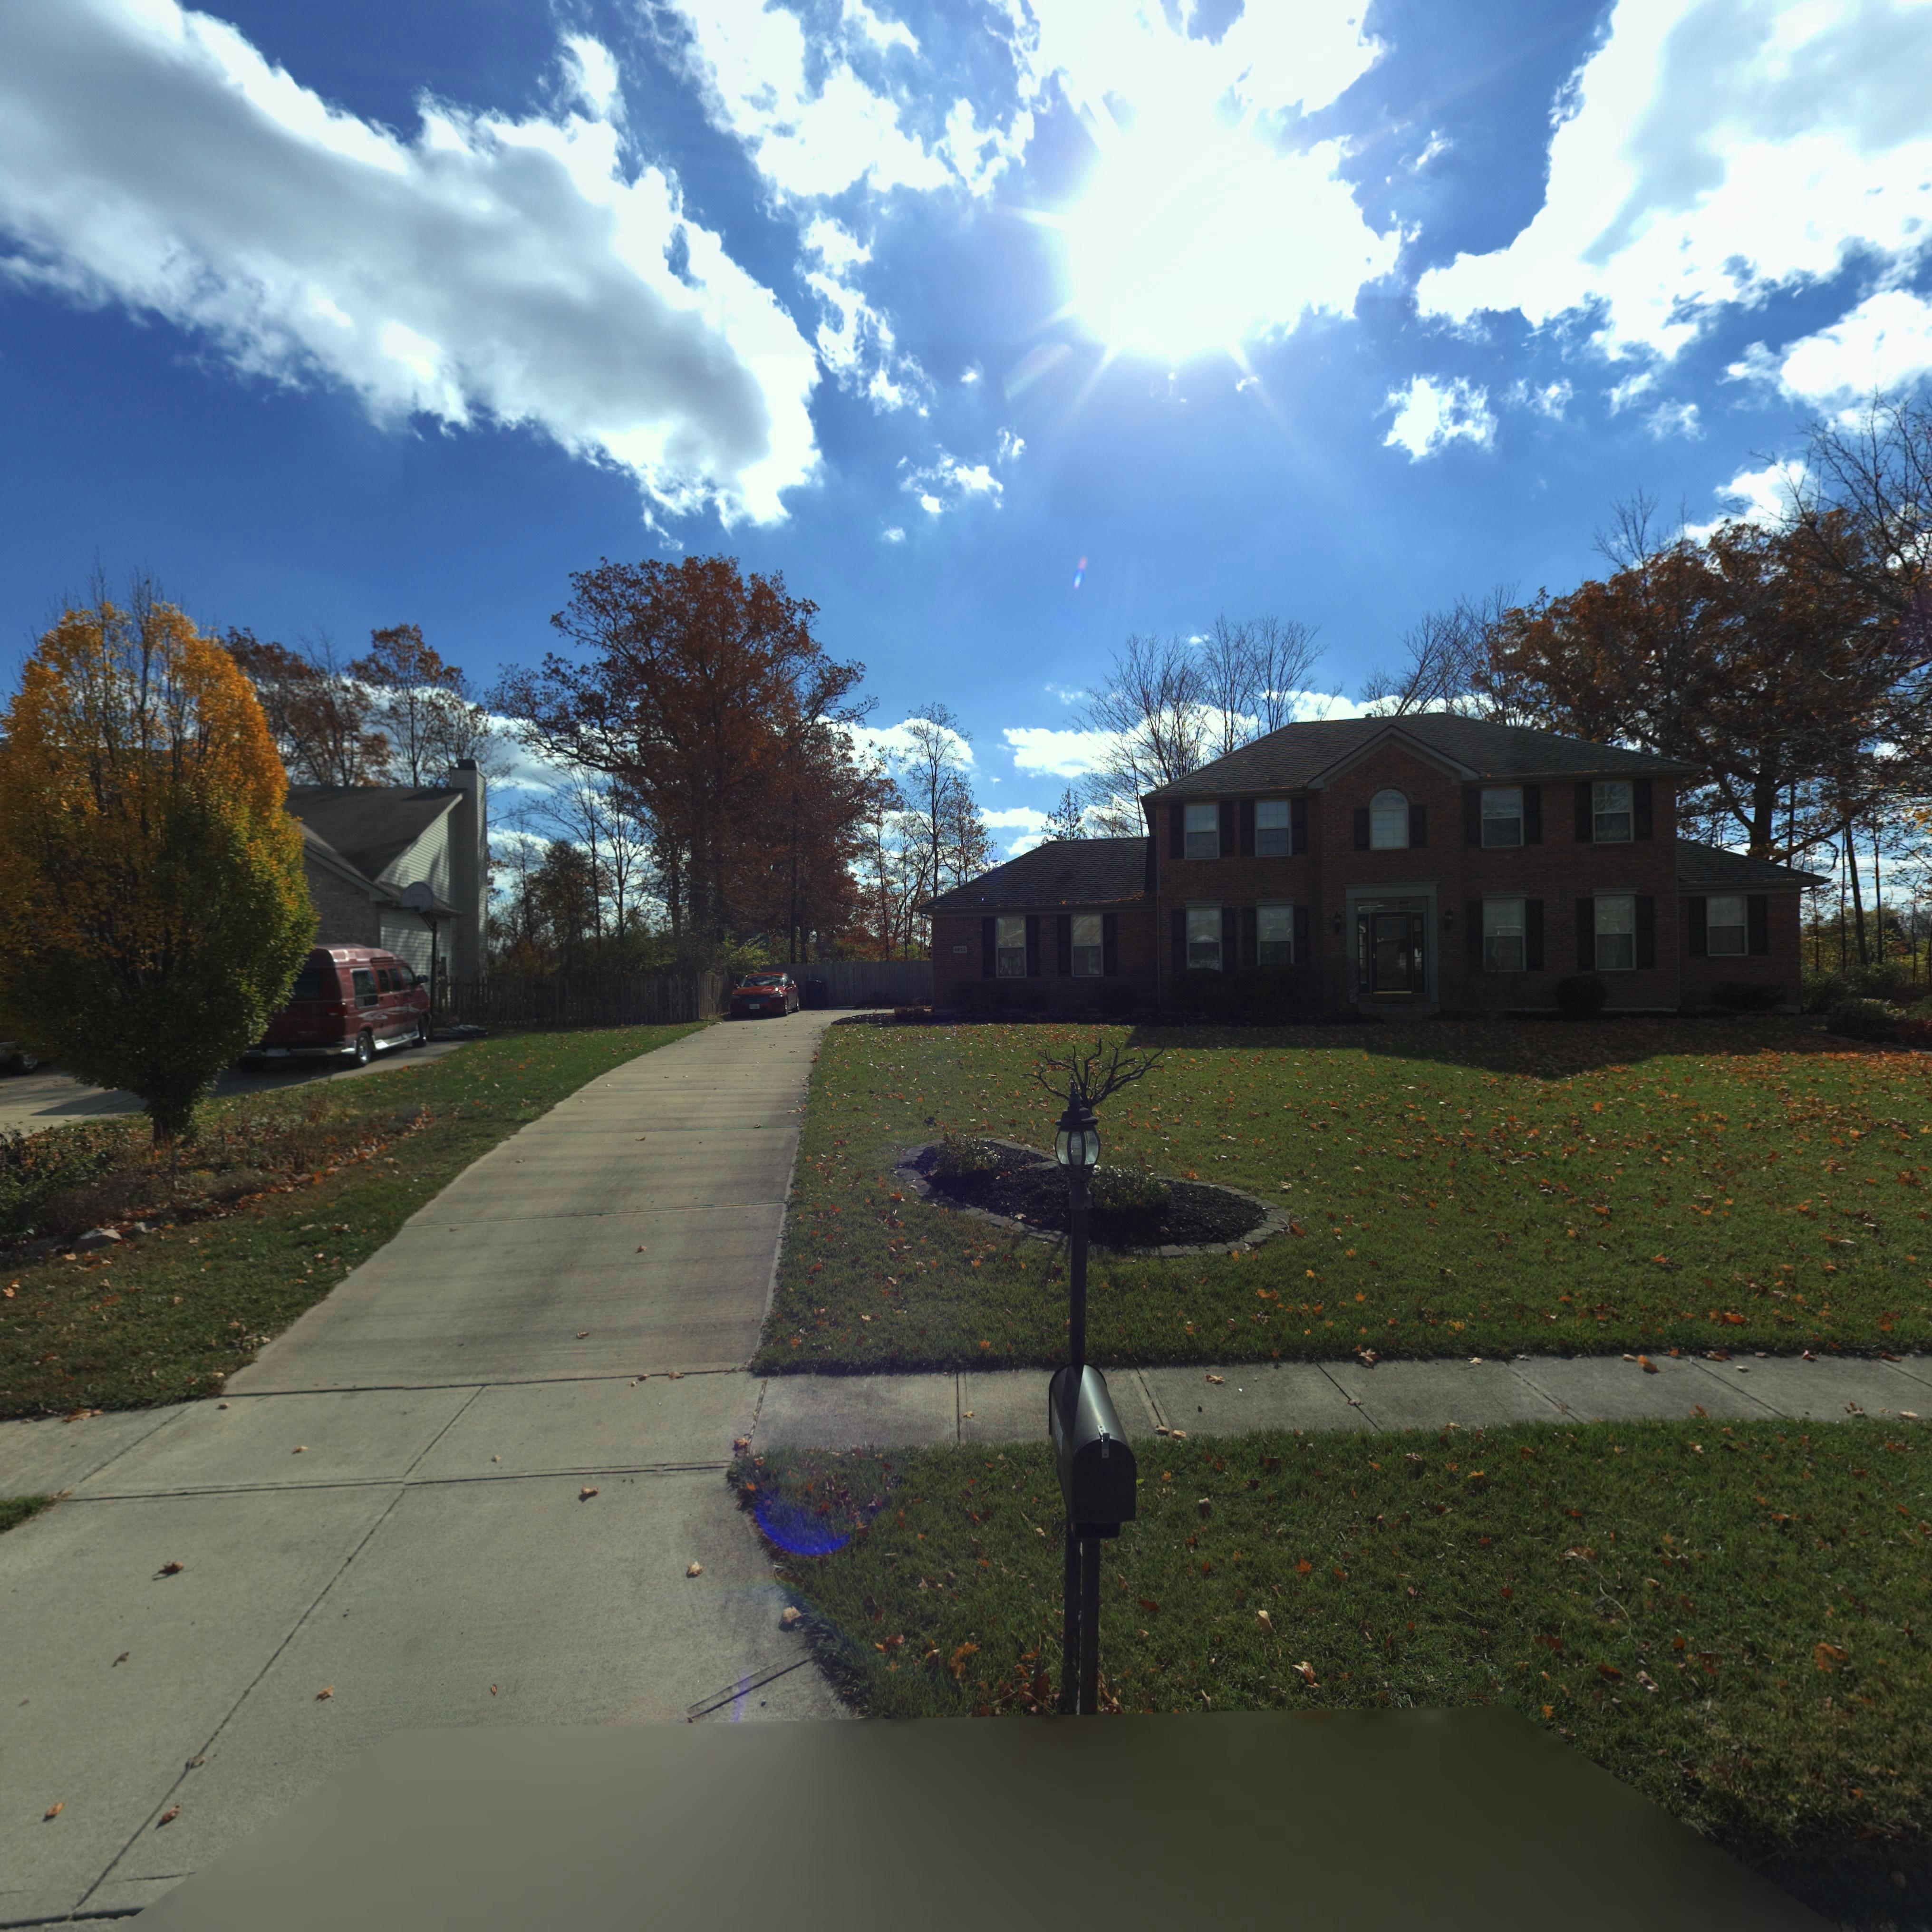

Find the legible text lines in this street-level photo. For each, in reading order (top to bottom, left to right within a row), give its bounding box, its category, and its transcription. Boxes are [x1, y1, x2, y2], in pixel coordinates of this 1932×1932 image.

[954, 947, 966, 952] StreetNumber: **52